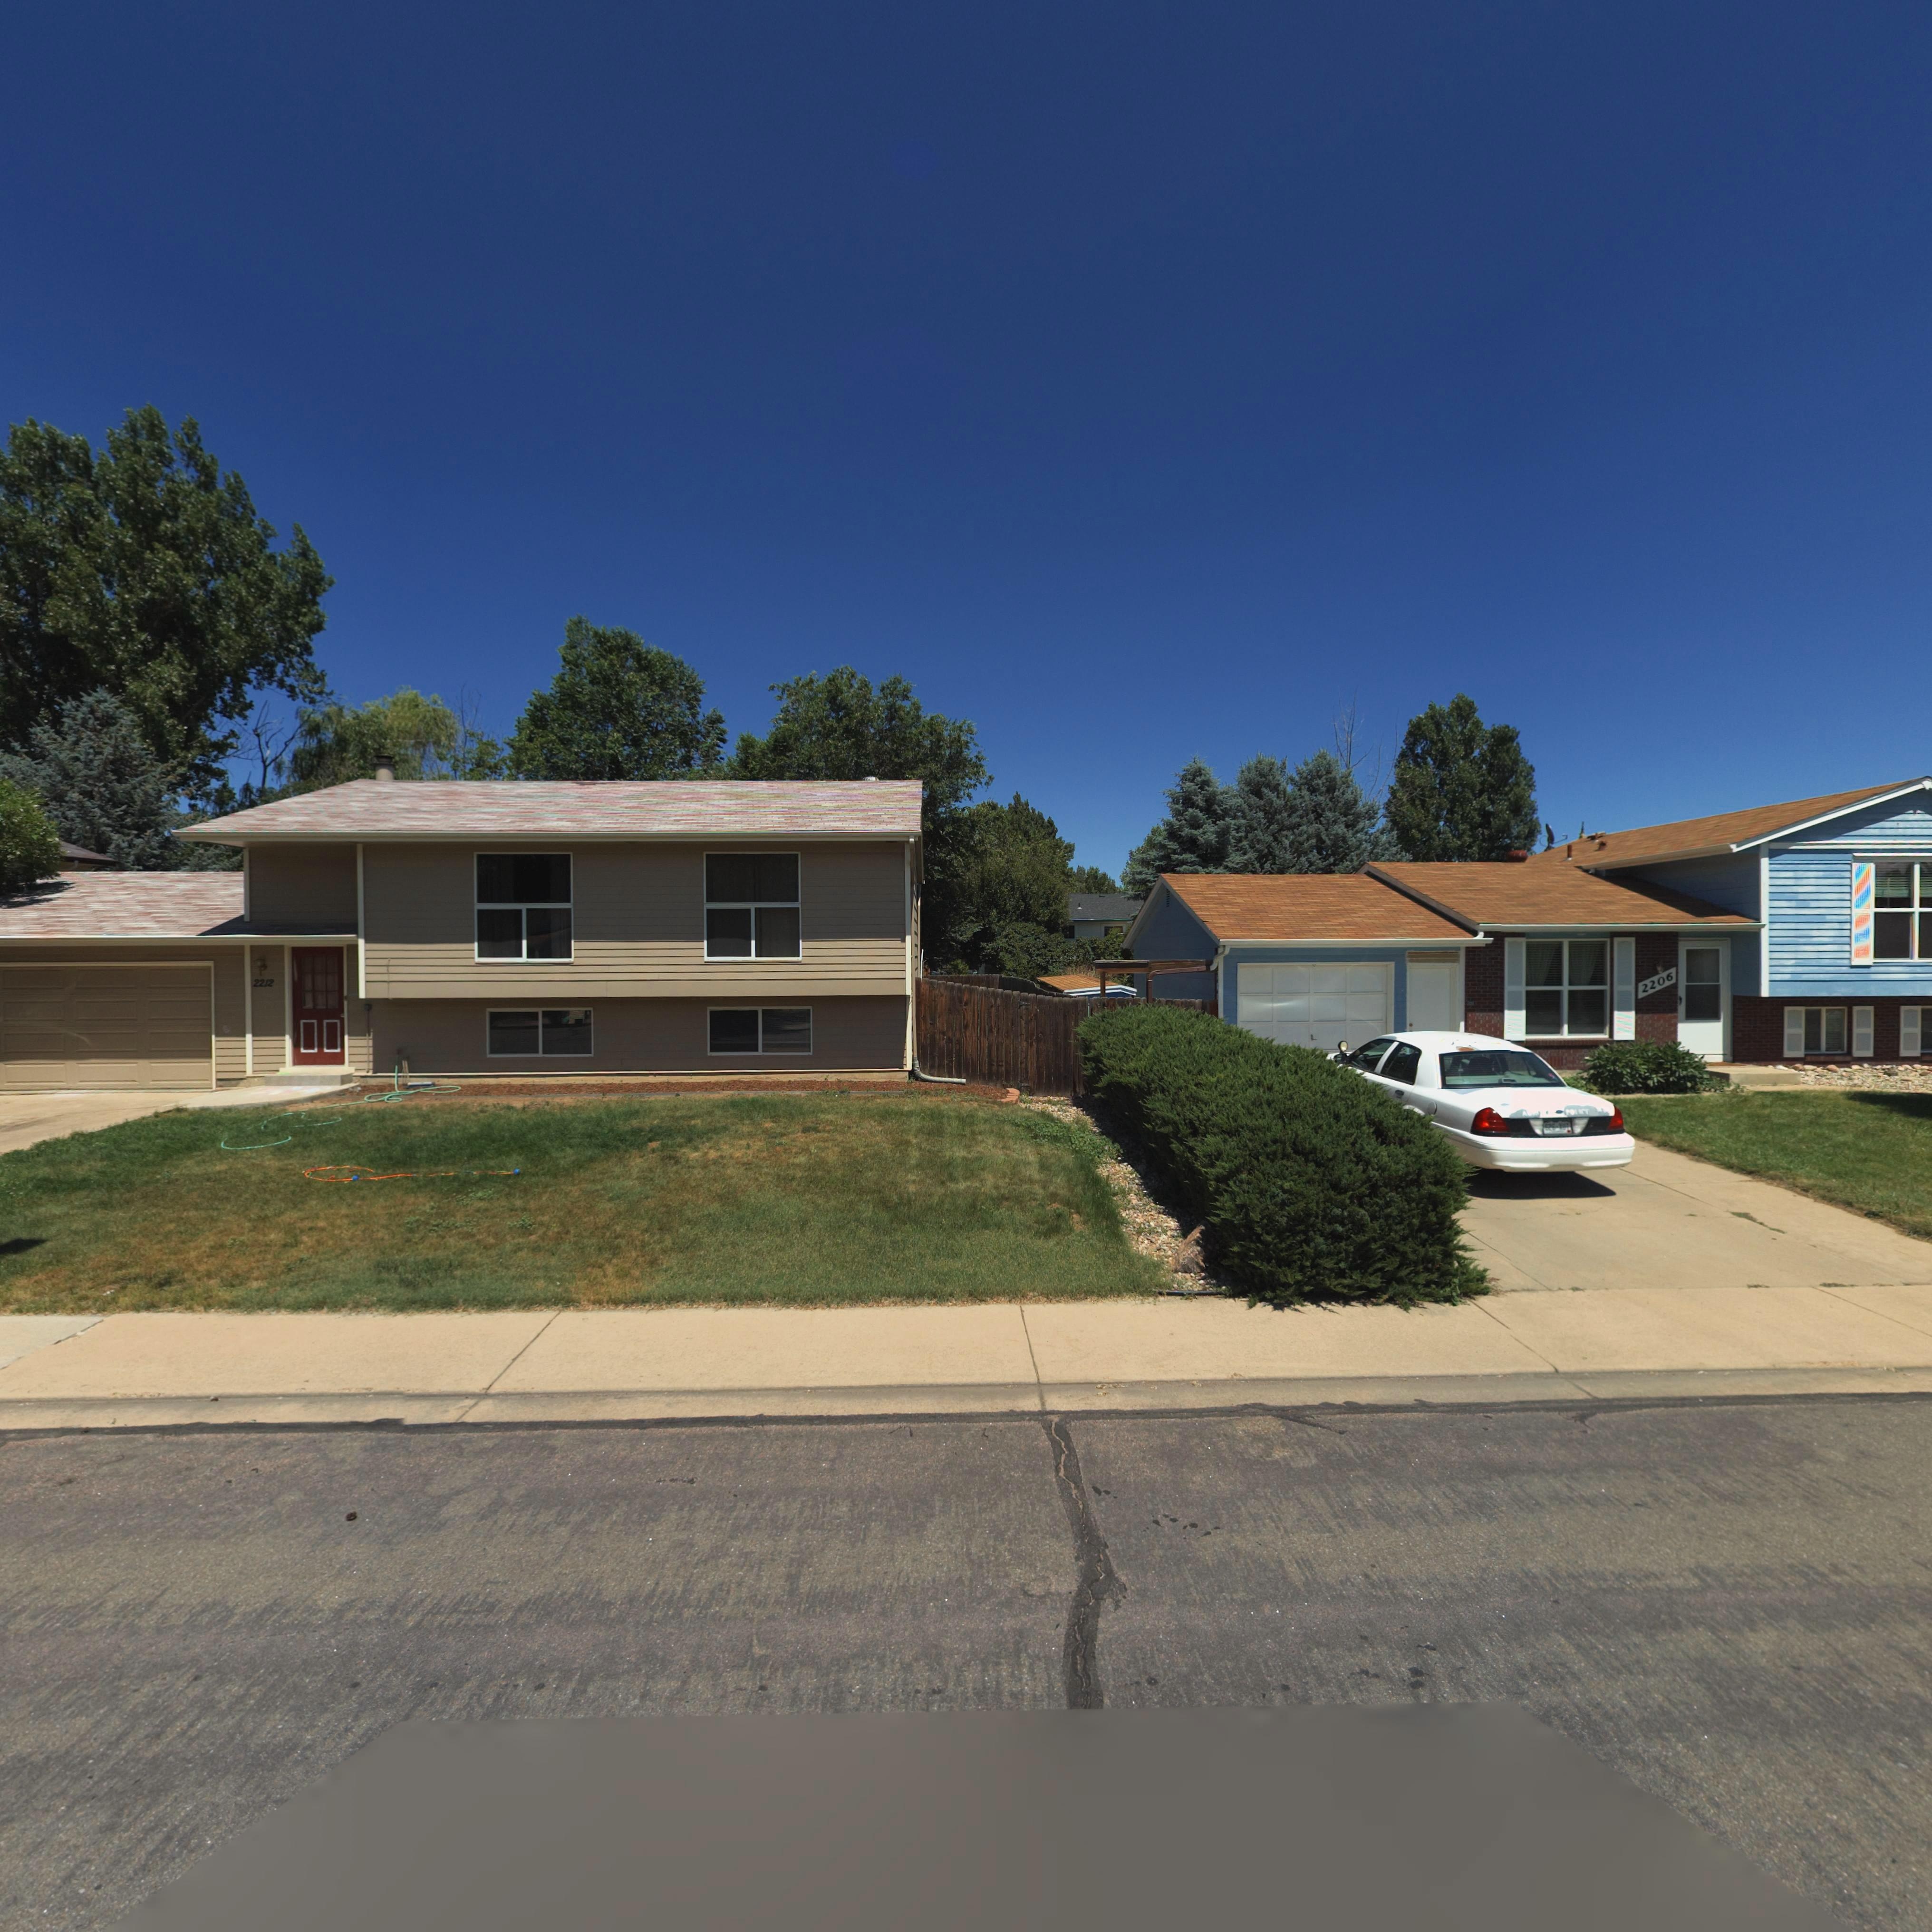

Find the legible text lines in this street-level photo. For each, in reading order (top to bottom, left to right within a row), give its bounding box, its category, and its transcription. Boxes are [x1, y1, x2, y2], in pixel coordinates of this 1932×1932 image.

[252, 978, 274, 987] StreetNumber: 2212
[1641, 971, 1673, 994] StreetNumber: 2206